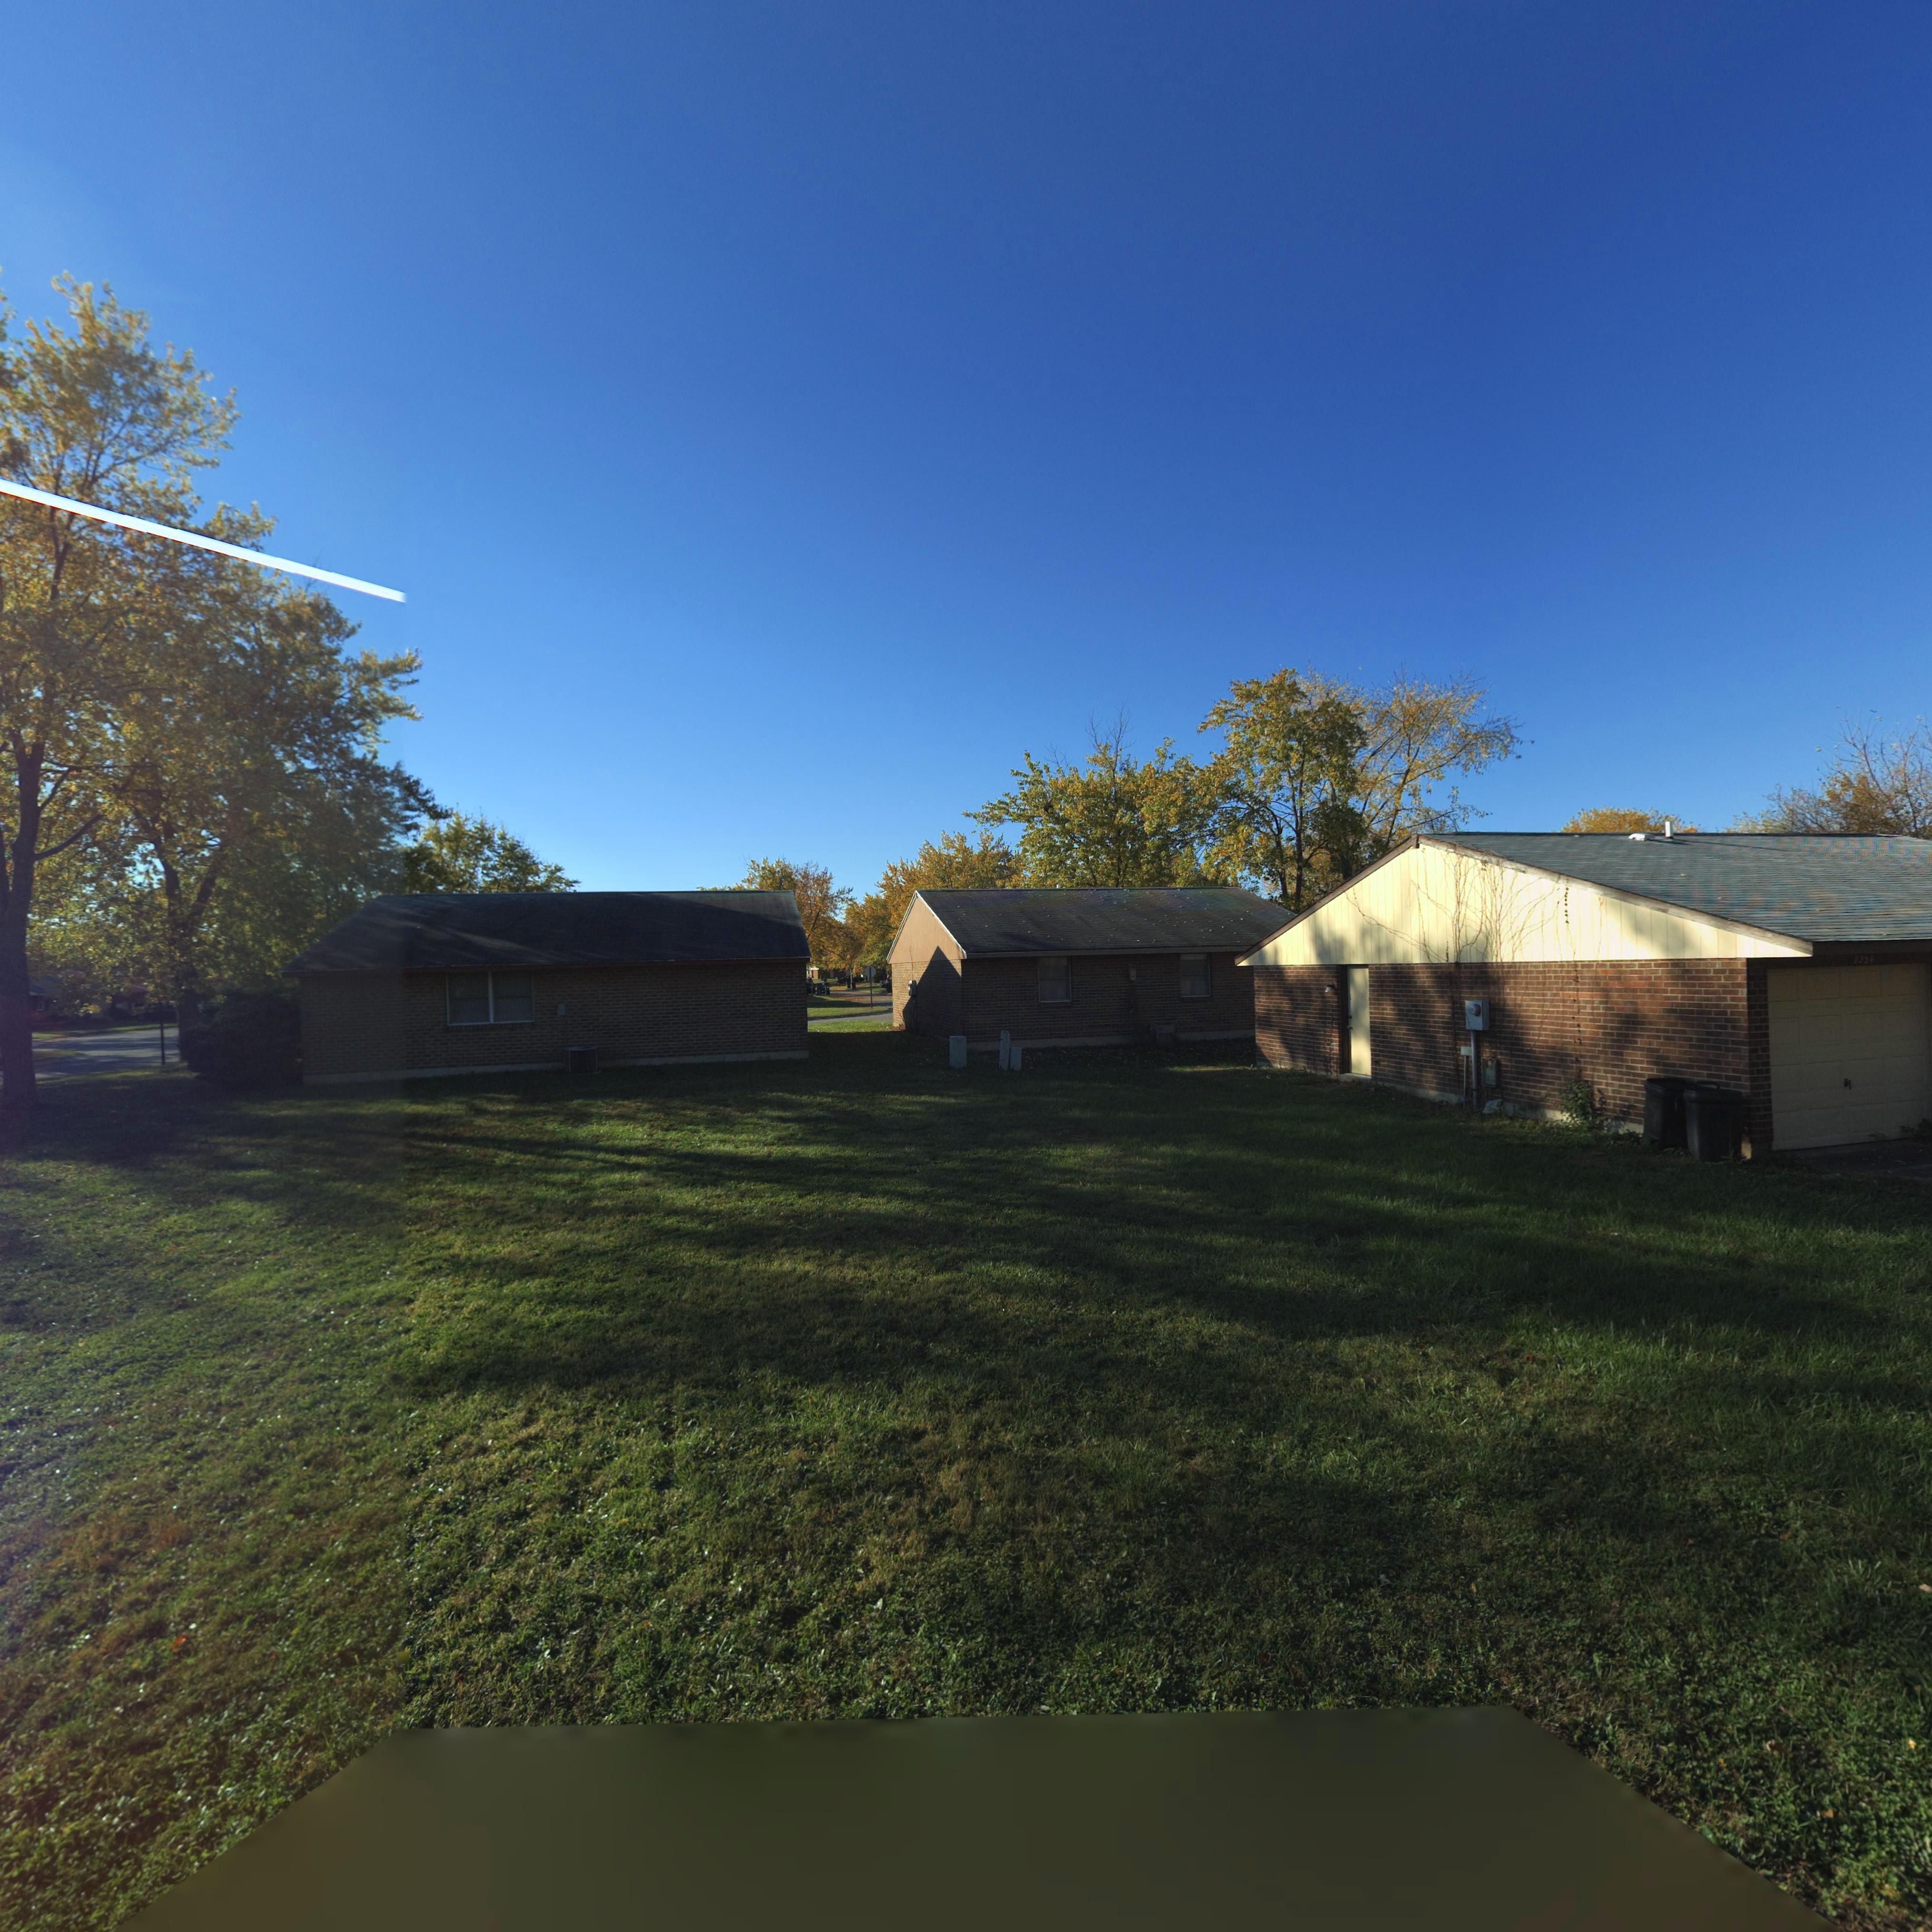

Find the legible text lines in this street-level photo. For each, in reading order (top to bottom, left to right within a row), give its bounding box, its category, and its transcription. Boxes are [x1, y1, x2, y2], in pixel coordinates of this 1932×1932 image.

[1853, 955, 1875, 965] StreetNumber: 8224